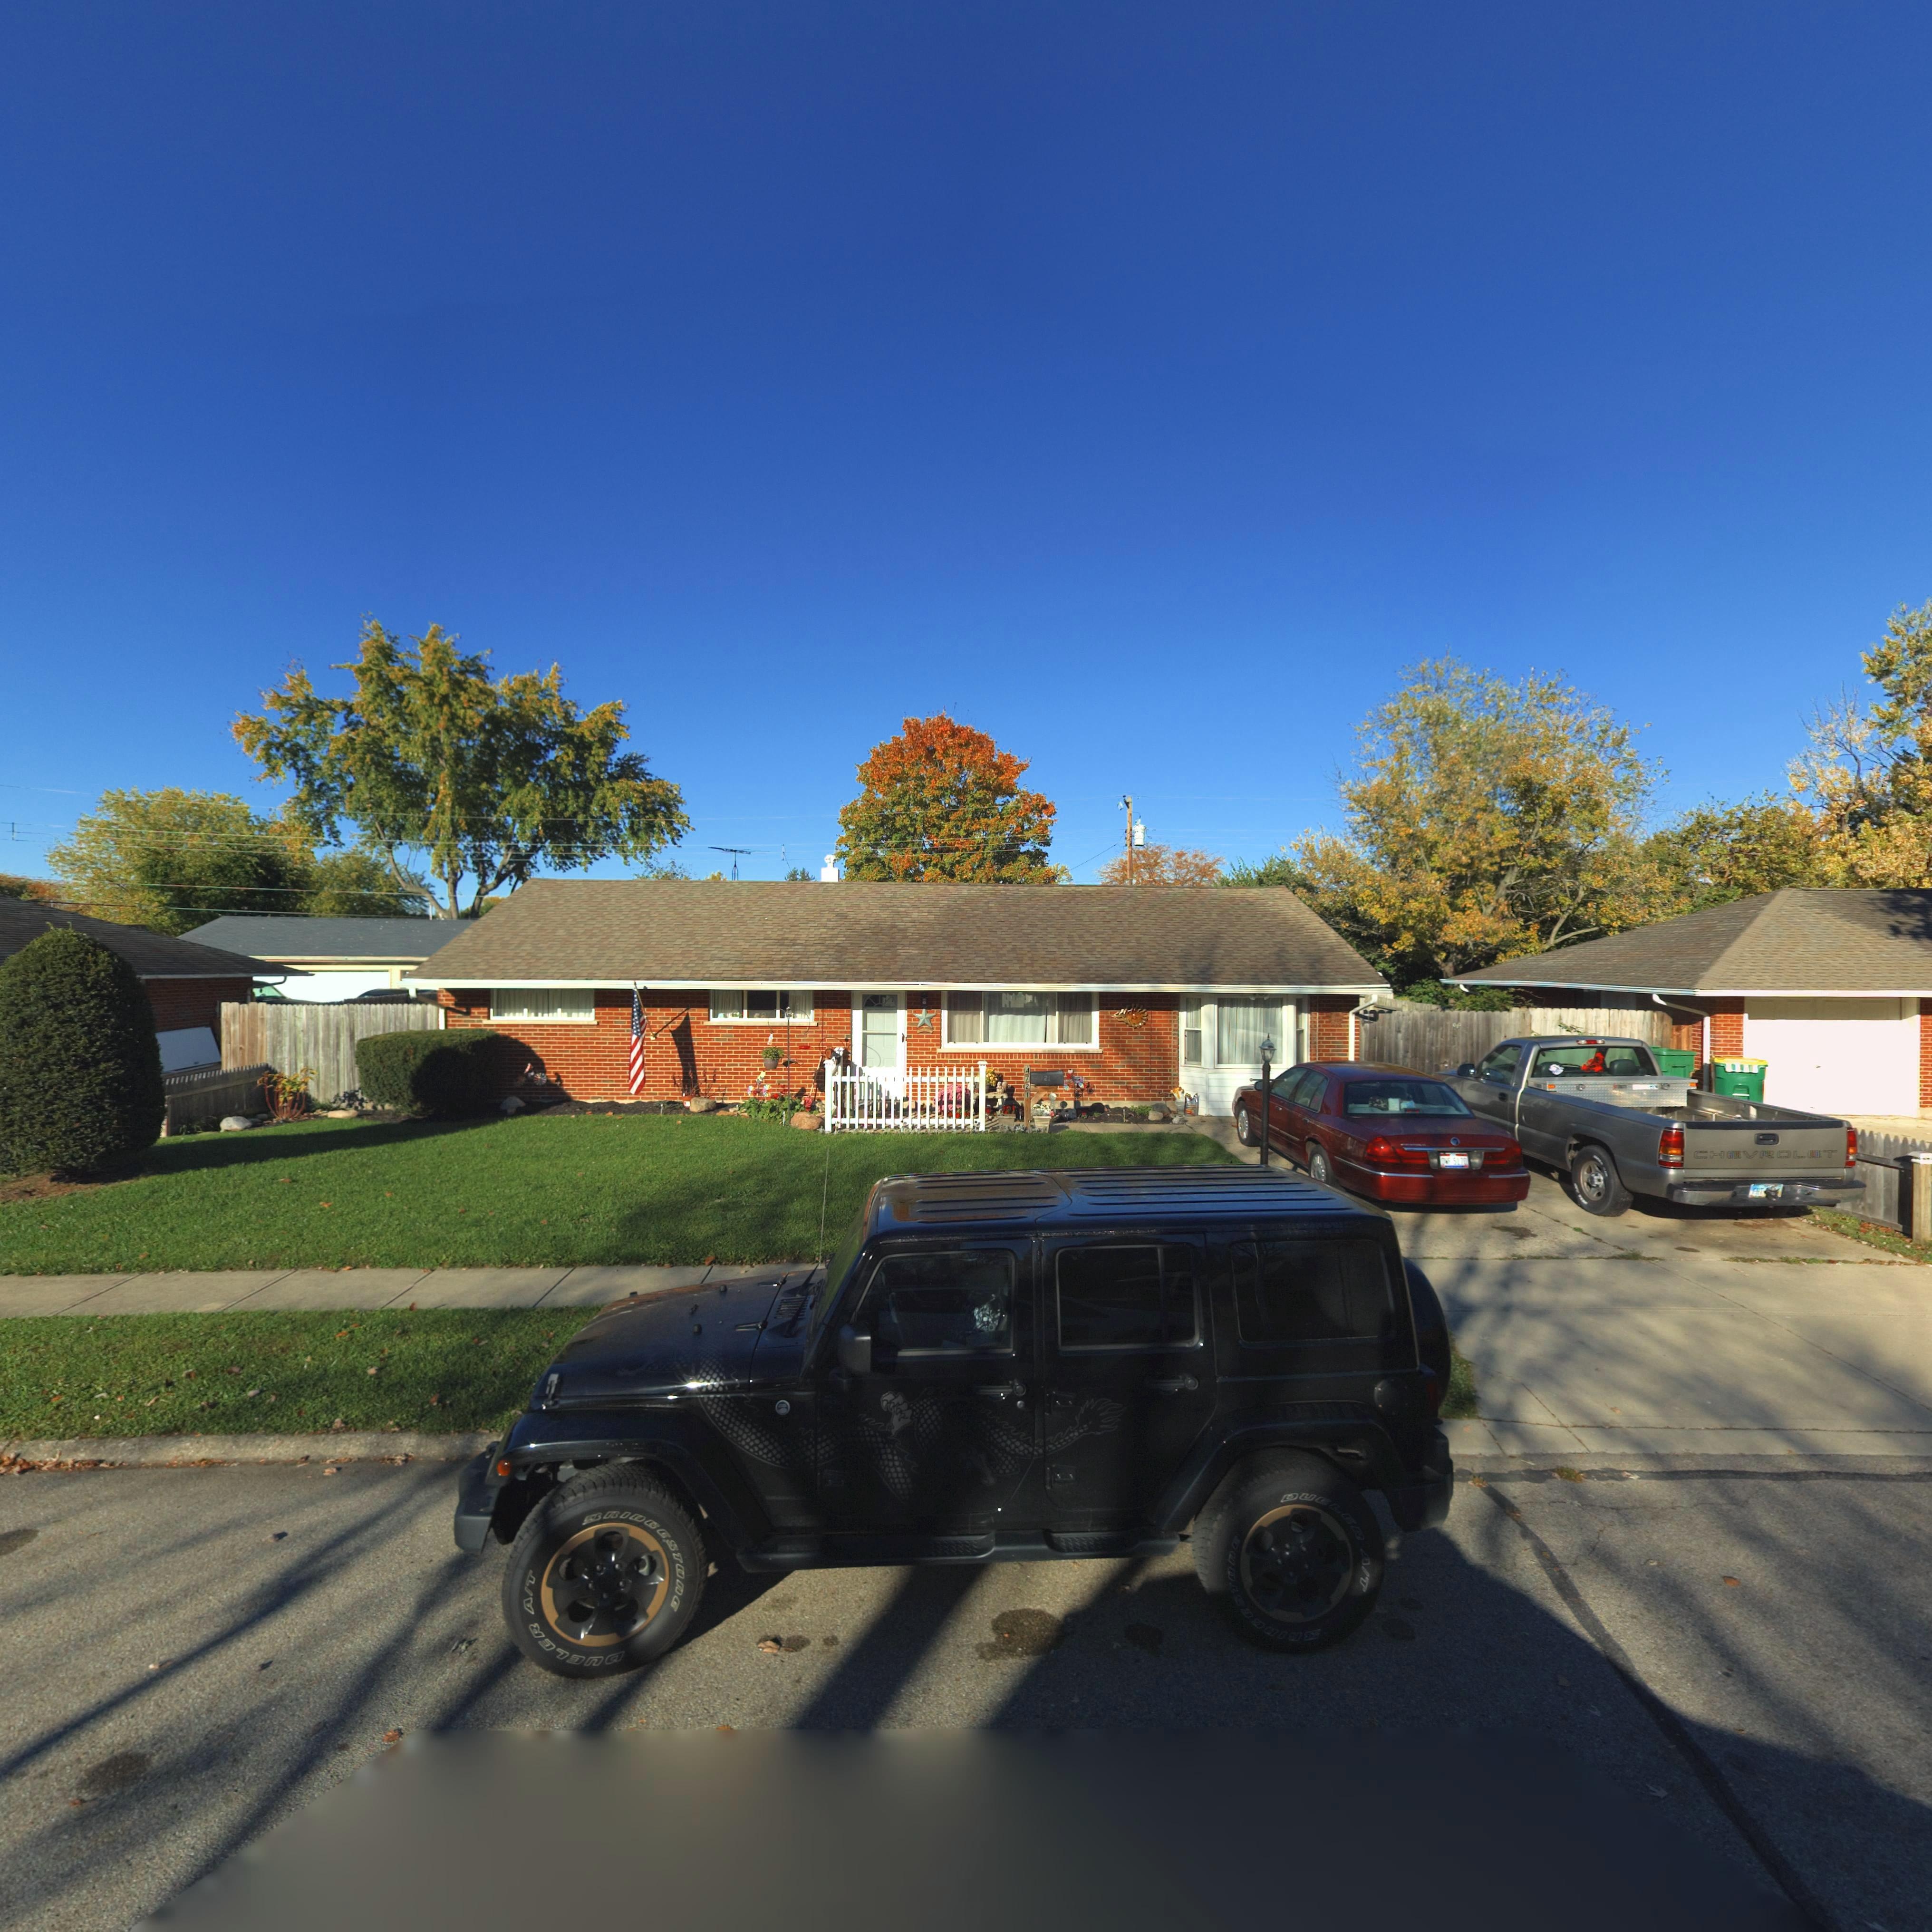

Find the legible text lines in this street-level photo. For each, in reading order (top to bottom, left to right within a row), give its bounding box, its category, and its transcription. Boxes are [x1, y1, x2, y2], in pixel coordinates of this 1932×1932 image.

[1025, 1066, 1030, 1099] StreetNumber: 4721
[1035, 1075, 1051, 1082] StreetNumber: 4721